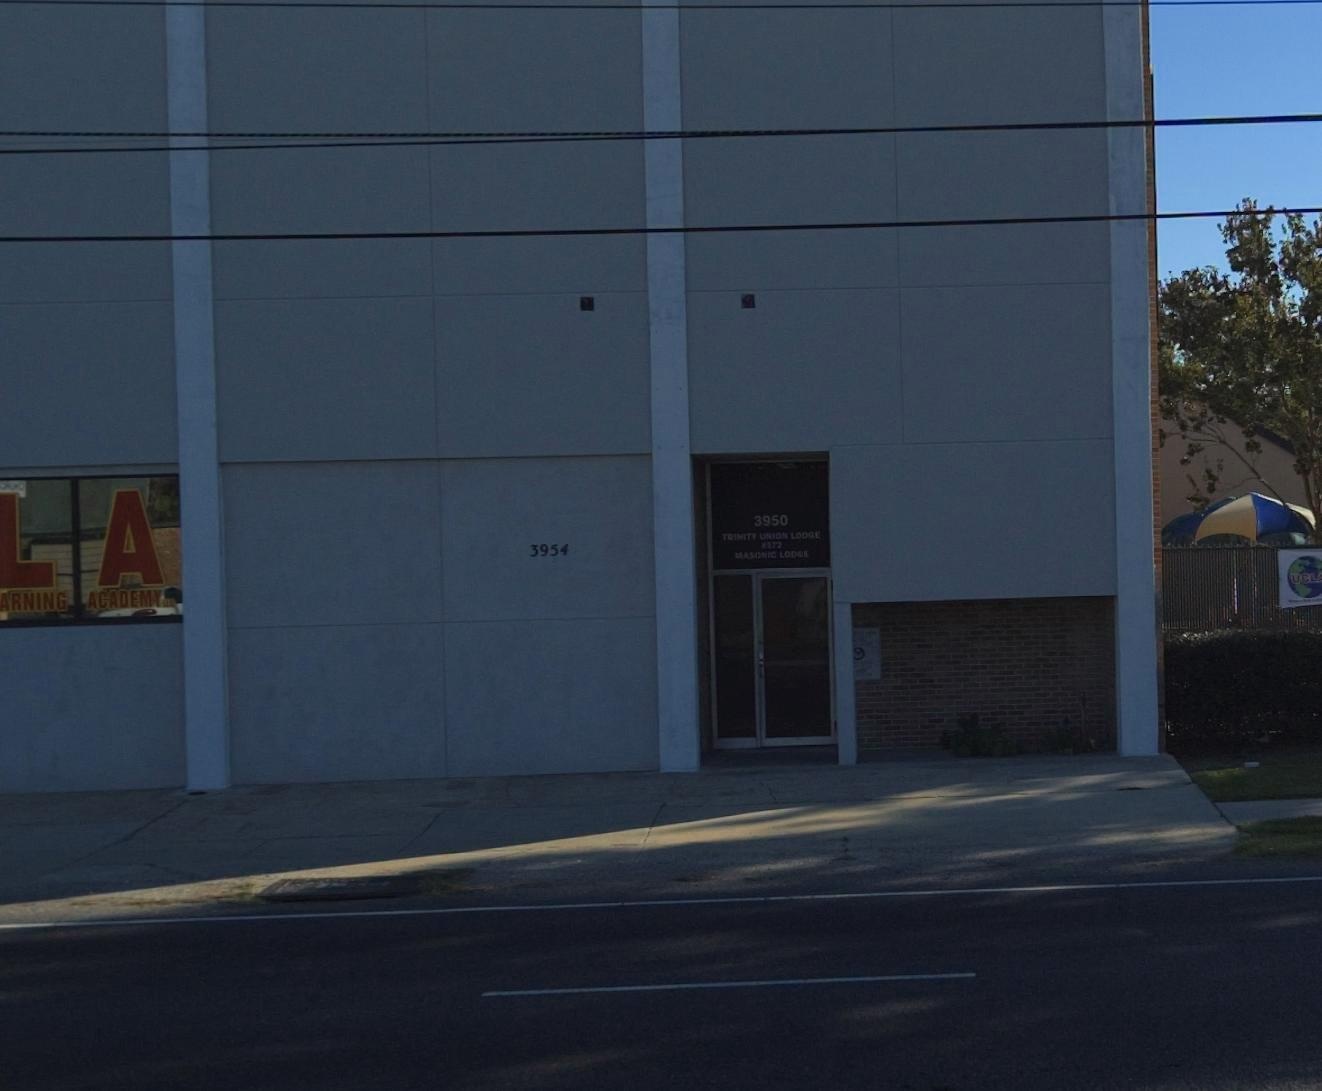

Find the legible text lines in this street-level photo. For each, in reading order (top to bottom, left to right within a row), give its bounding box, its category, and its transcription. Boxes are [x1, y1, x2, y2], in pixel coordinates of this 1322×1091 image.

[752, 512, 791, 529] StreetNumber: 3950
[0, 489, 168, 591] BusinessName: LA
[527, 541, 572, 560] StreetNumber: 3954
[718, 529, 824, 543] BusinessName: TRINITY UNION LODGE
[733, 547, 812, 561] None: MASONIC LODGE
[769, 540, 784, 551] None: 72
[1289, 572, 1318, 586] None: UCL
[10, 587, 164, 613] BusinessName: RNING ACADEMY